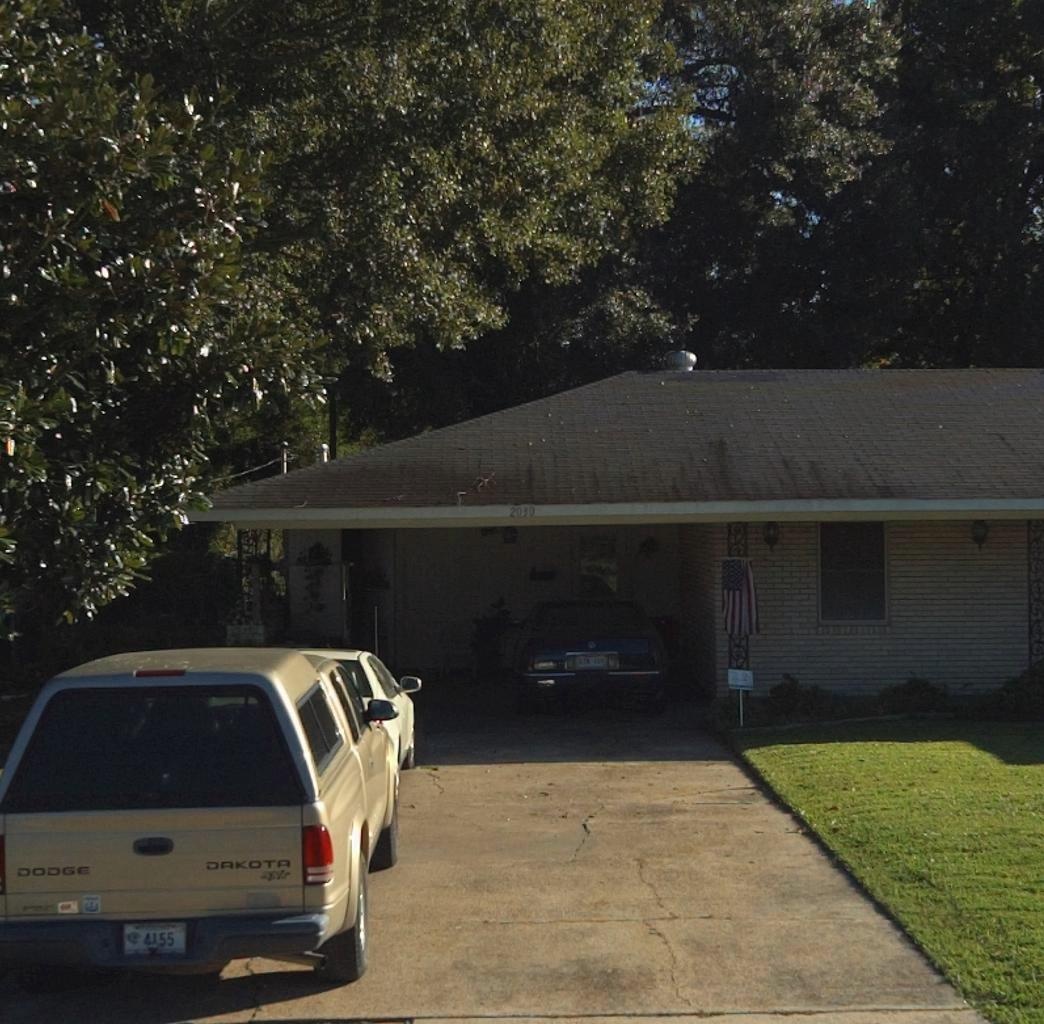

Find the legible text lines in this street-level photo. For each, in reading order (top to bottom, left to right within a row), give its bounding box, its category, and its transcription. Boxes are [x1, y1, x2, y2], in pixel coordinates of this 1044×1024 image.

[508, 505, 535, 518] StreetNumber: 2030
[15, 865, 91, 878] None: DODGE
[205, 859, 291, 871] None: DAKOTA
[143, 930, 175, 948] None: 4155